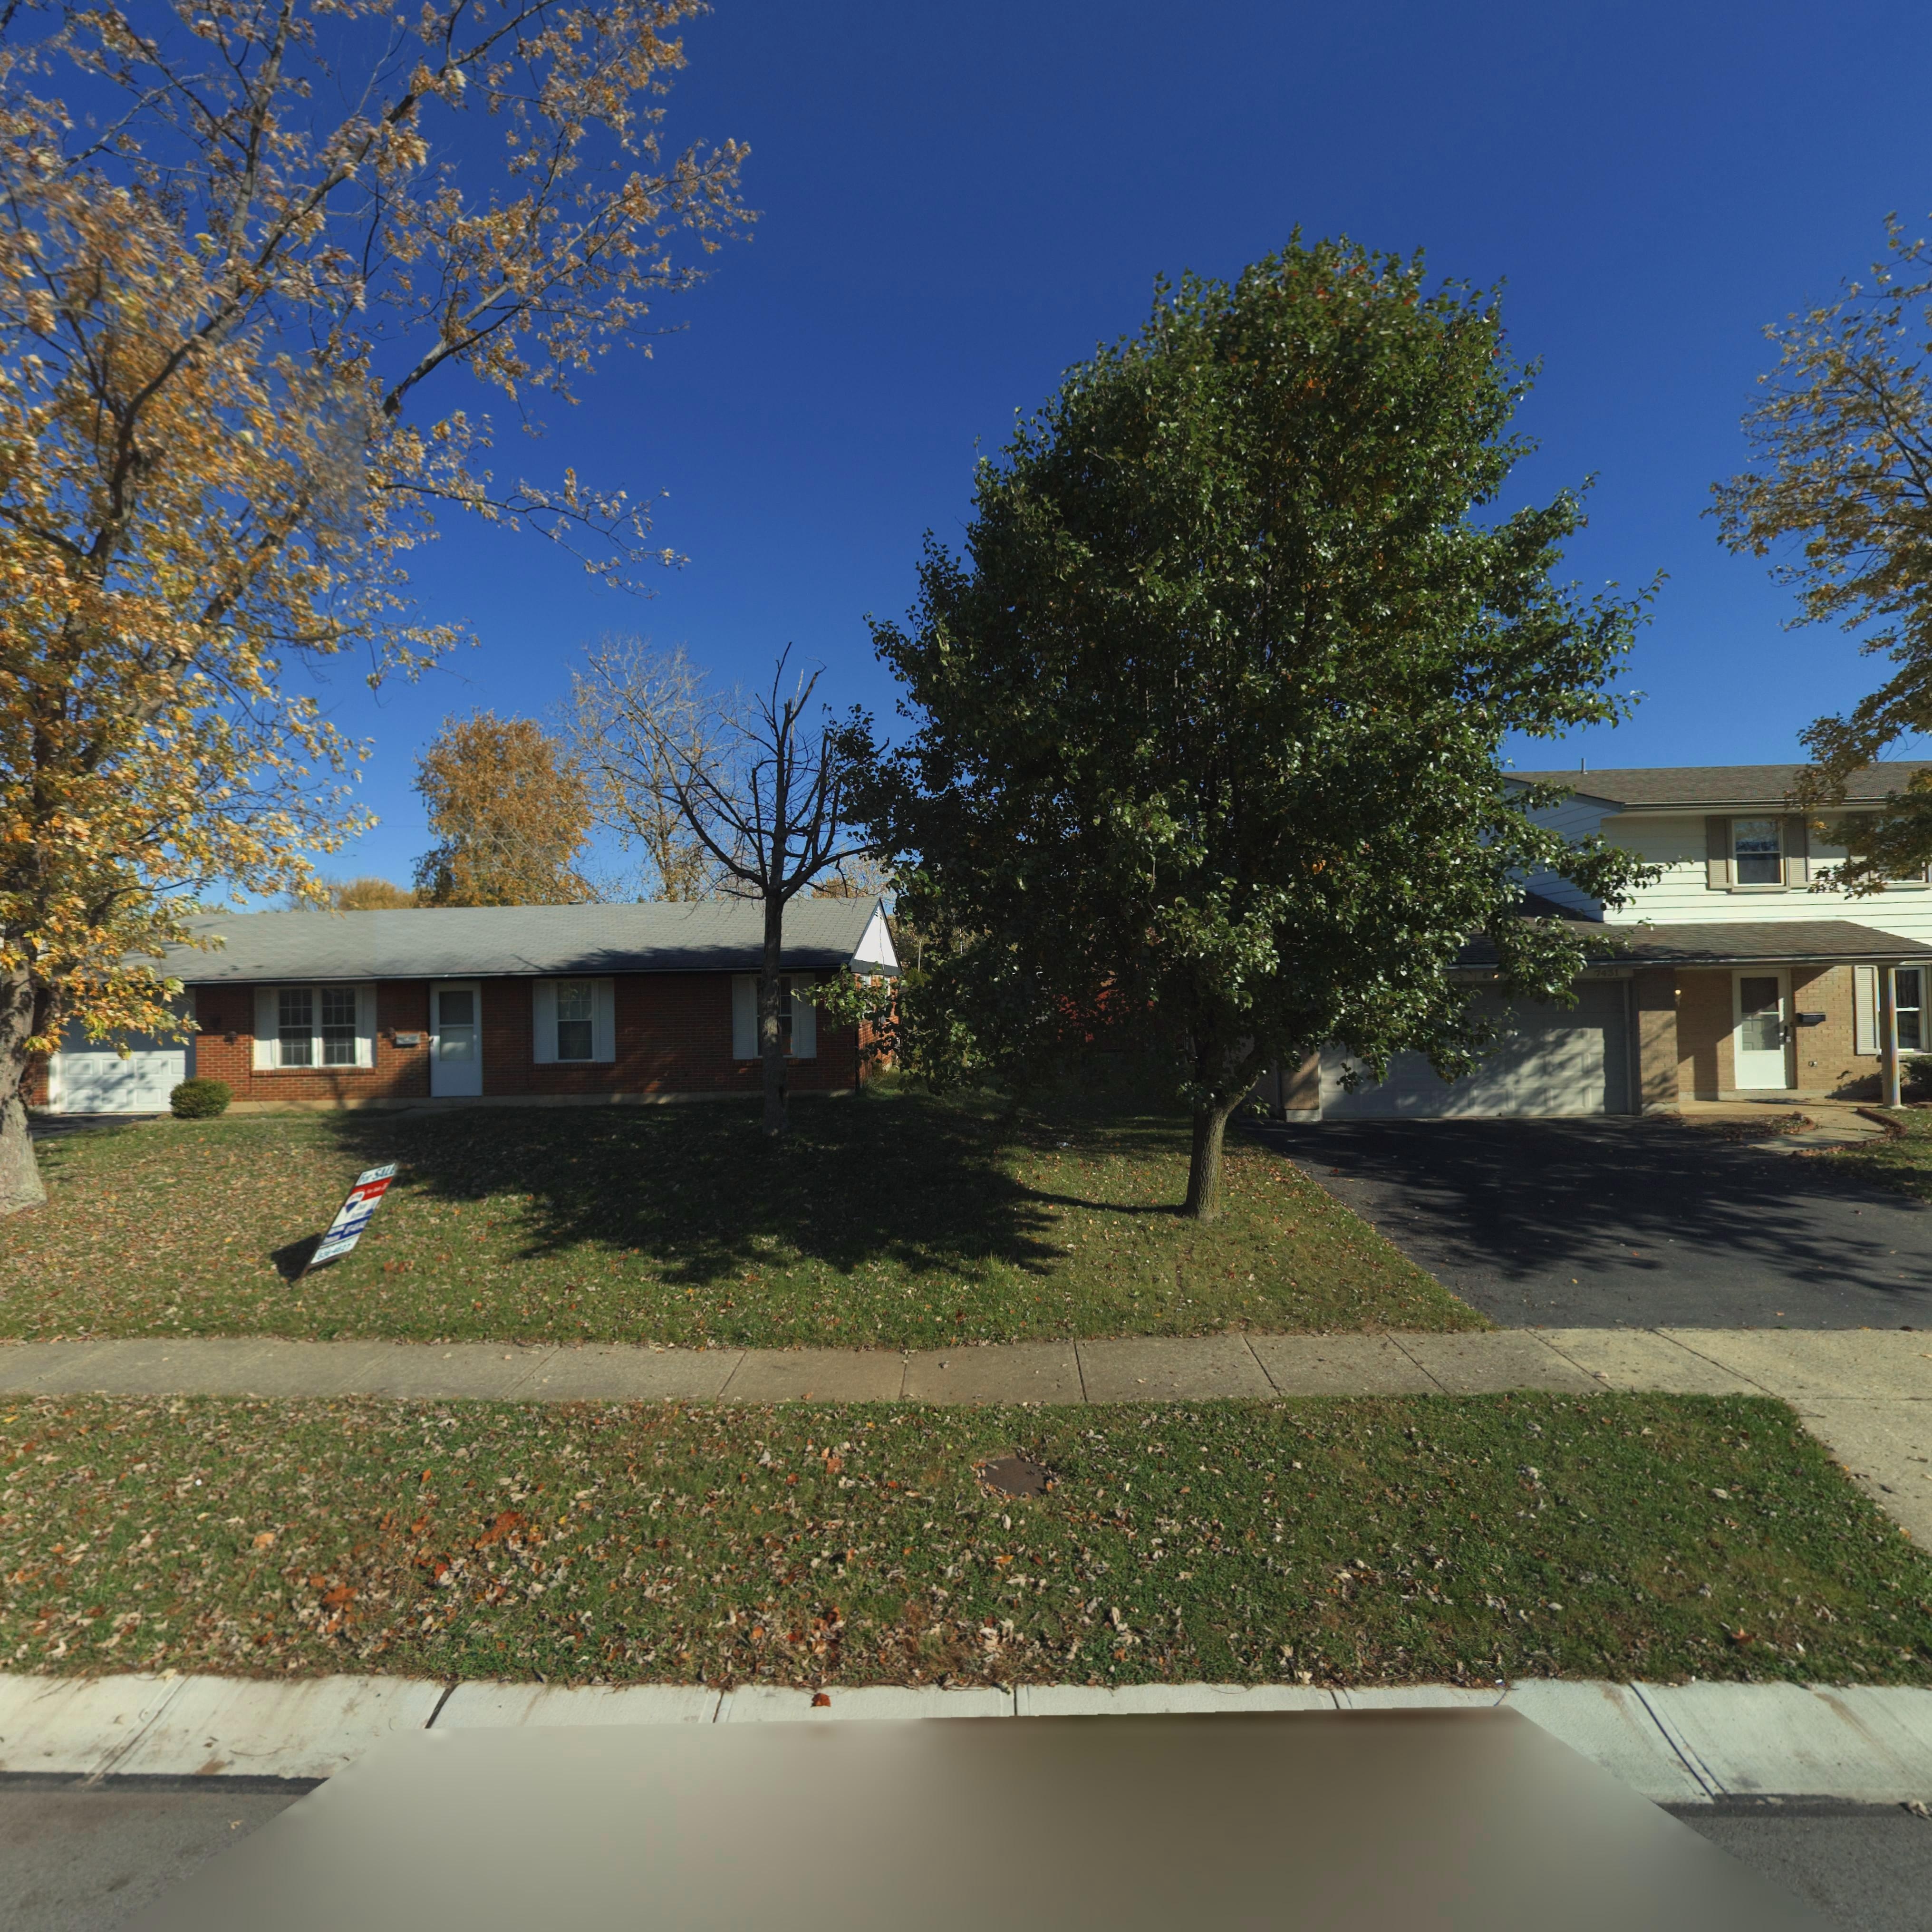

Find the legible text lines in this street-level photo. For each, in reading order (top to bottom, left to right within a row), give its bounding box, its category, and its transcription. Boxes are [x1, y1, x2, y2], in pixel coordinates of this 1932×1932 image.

[1594, 967, 1620, 978] StreetNumber: 7431